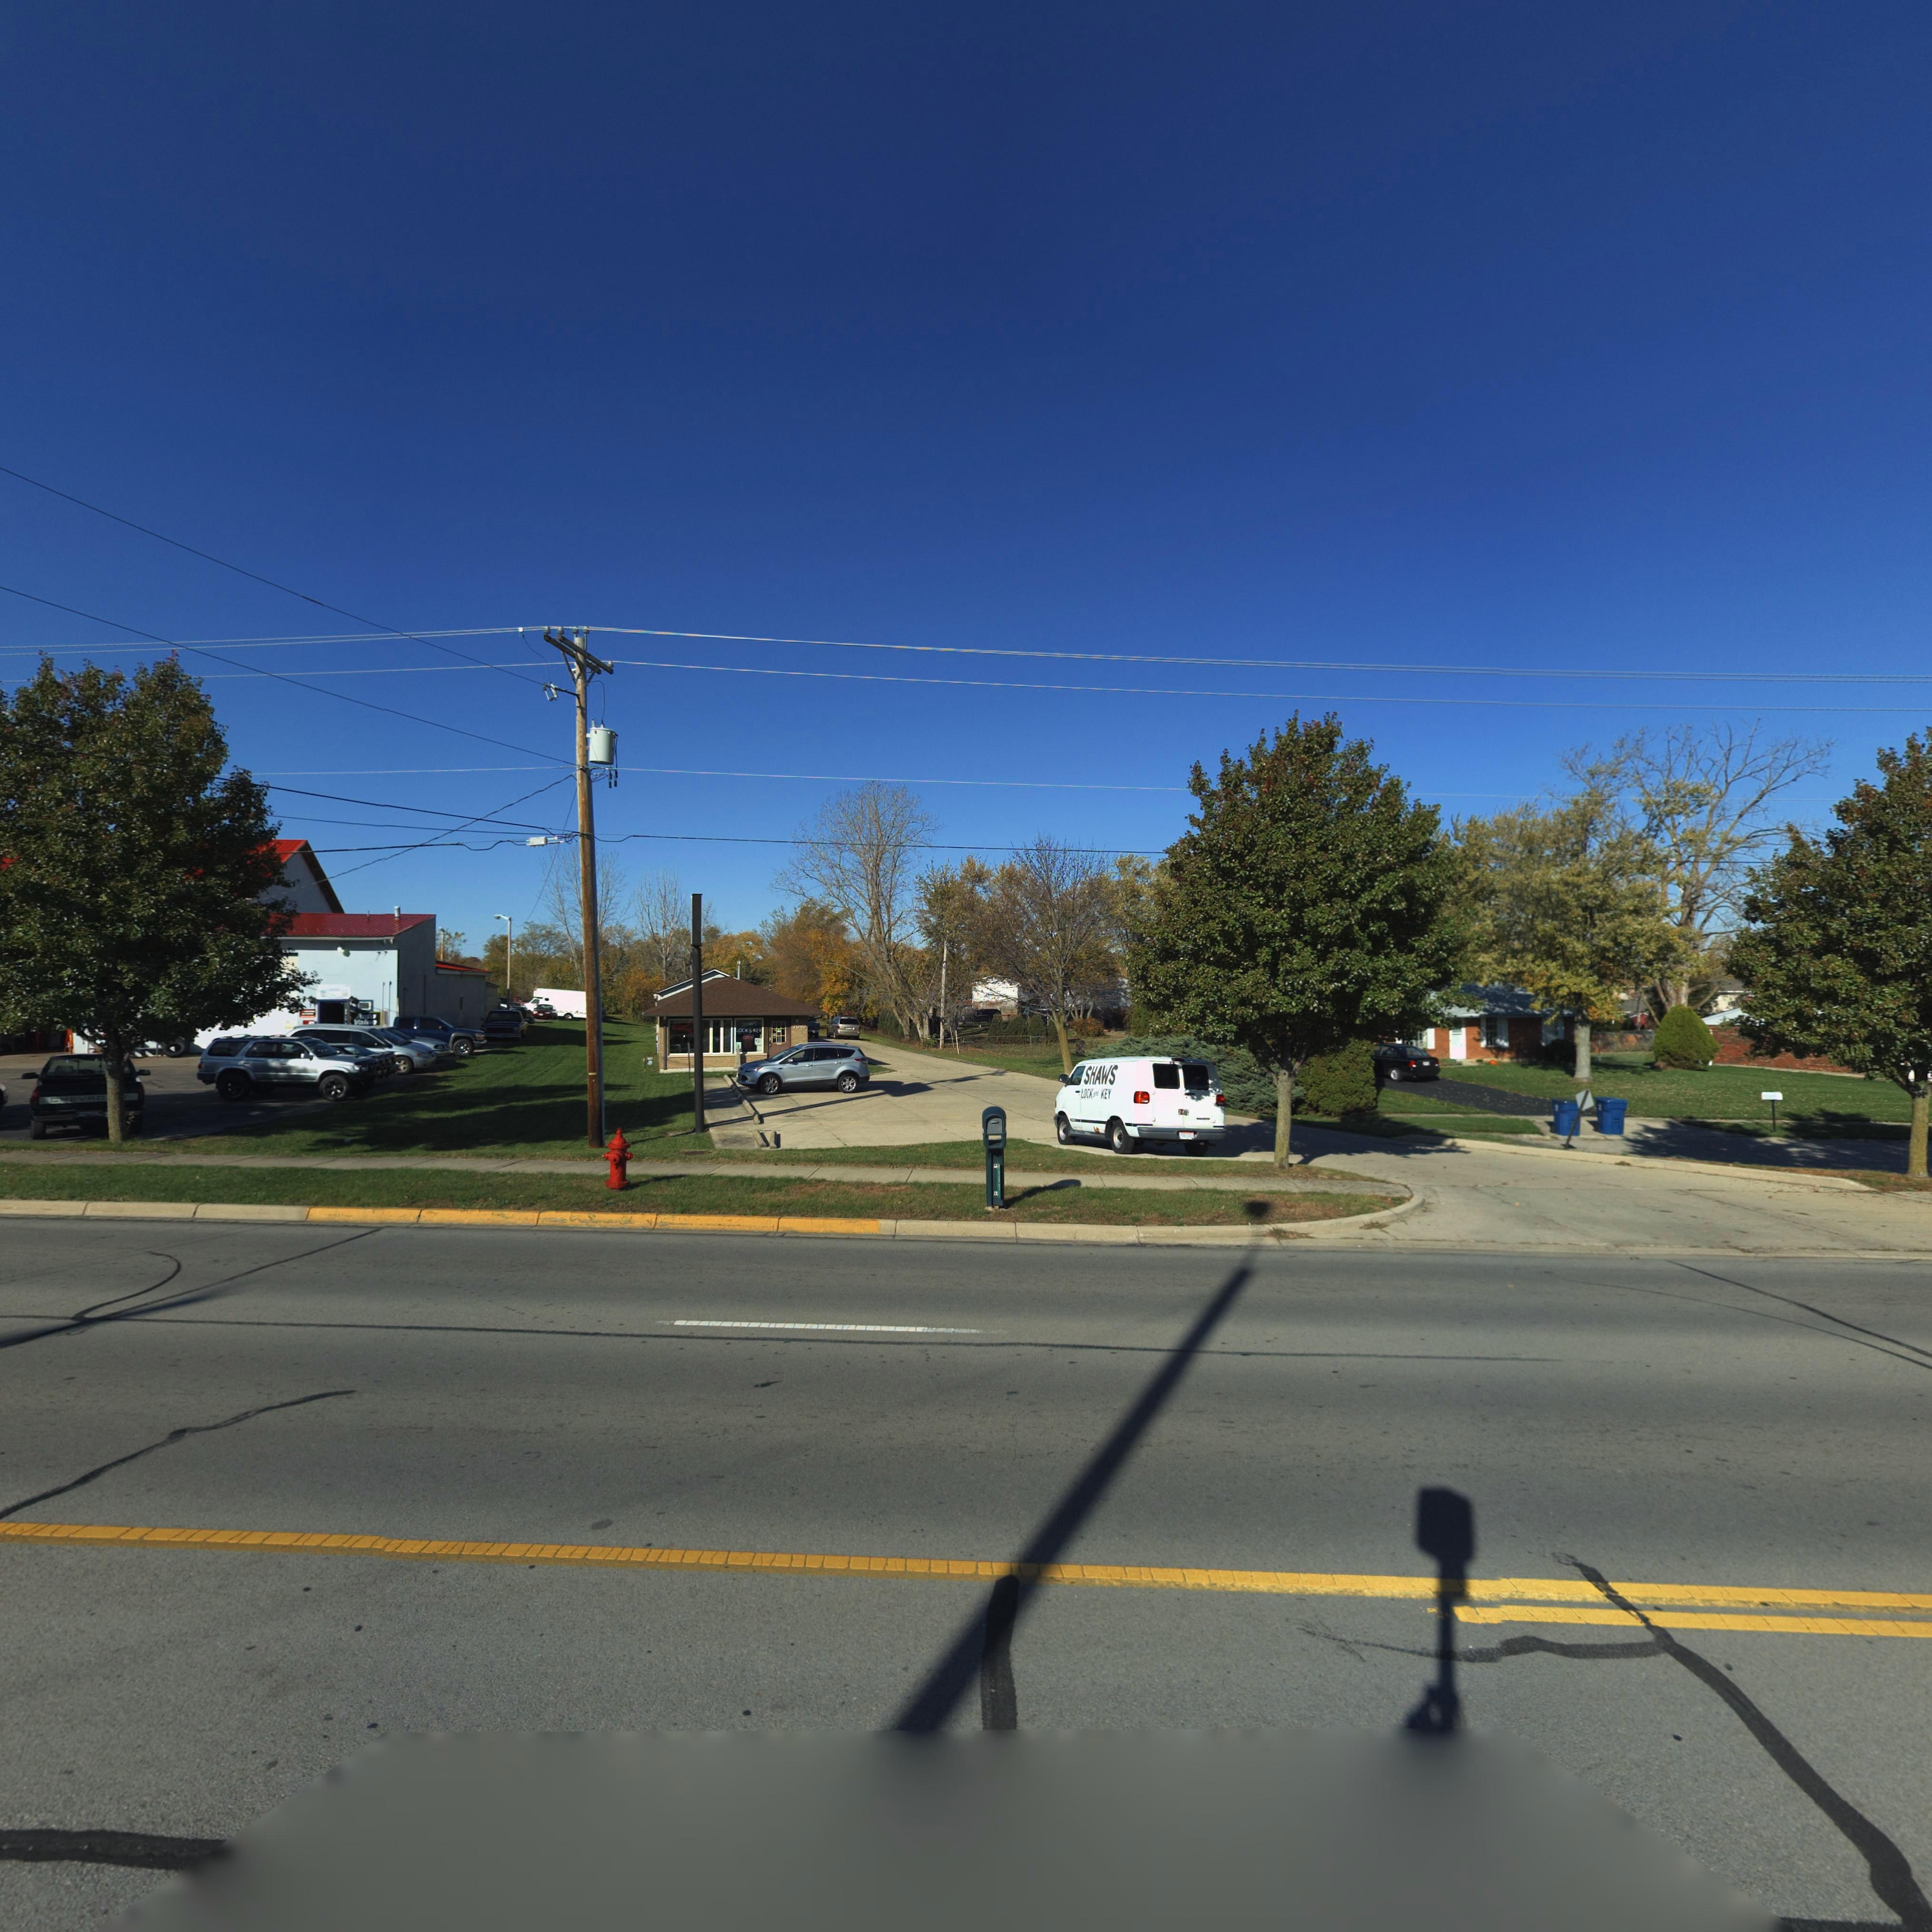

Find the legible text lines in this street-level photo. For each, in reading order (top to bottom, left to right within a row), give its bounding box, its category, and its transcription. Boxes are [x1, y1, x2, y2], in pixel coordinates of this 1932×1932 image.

[792, 1024, 807, 1029] StreetNumber: 76*5
[735, 1027, 763, 1033] BusinessName: LOCK & KEY
[997, 1183, 1001, 1192] StreetNumber: 5